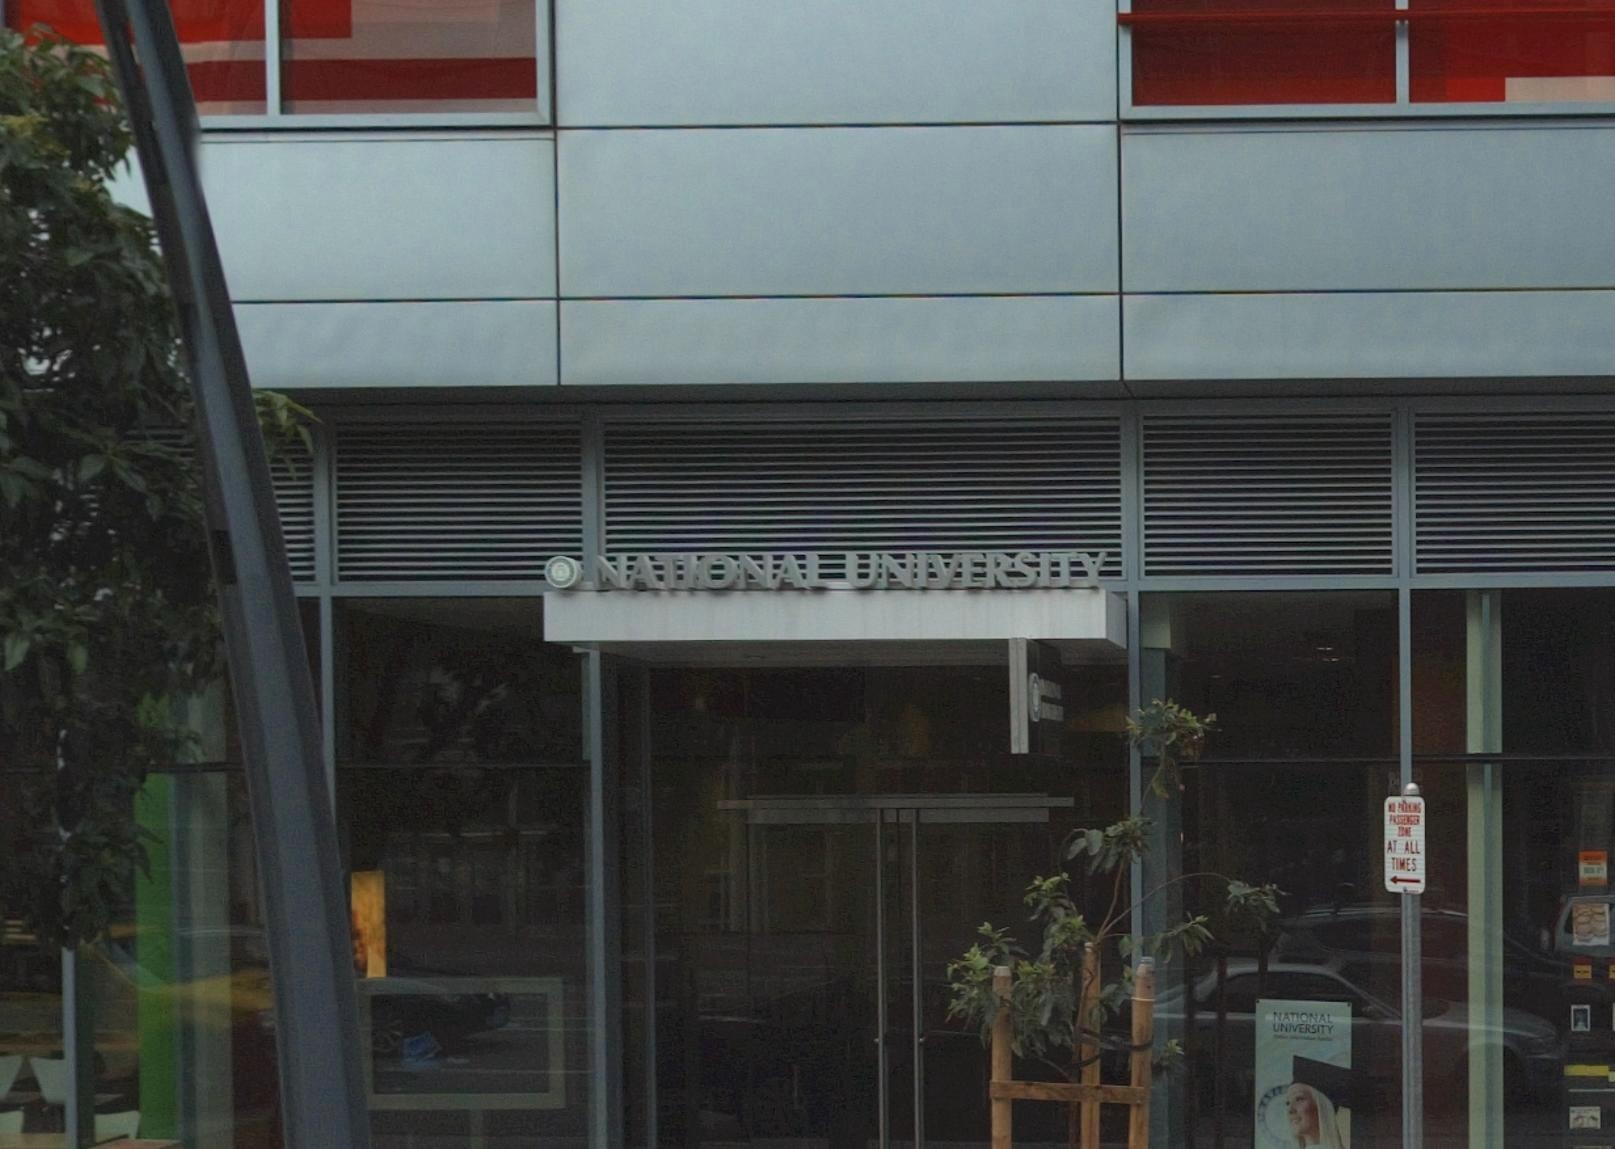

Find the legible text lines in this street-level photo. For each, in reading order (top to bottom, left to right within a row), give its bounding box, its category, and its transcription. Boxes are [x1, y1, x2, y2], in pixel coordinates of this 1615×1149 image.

[589, 548, 1115, 594] BusinessName: NATIONAL UNIVERSITY
[1384, 837, 1423, 857] None: AT ALL
[1389, 854, 1419, 874] None: TIMES
[1271, 1009, 1334, 1025] BusinessName: NATIONAL
[1271, 1021, 1336, 1036] BusinessName: UNIVERSITY